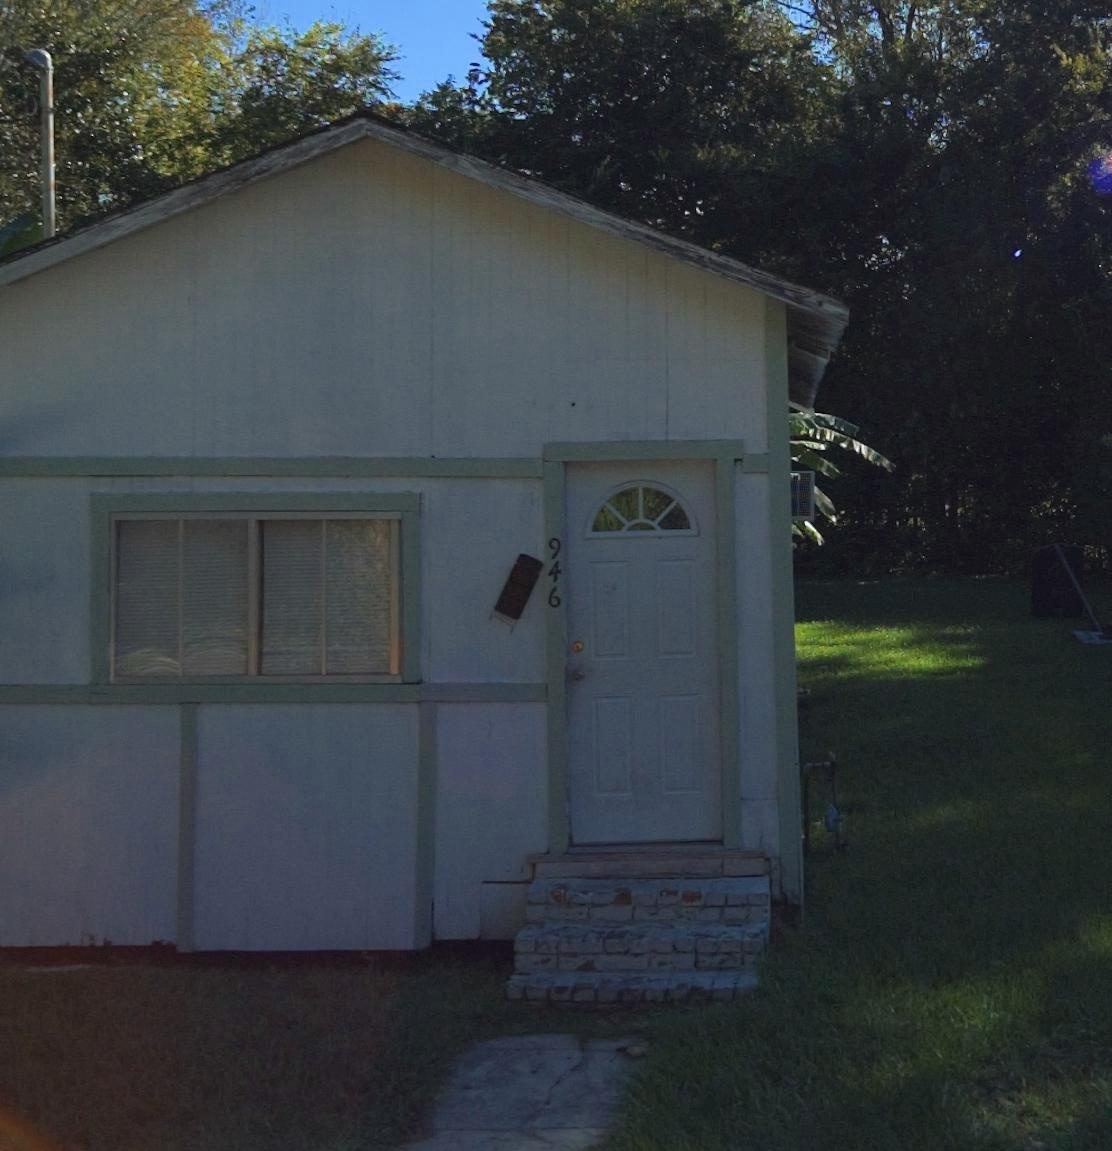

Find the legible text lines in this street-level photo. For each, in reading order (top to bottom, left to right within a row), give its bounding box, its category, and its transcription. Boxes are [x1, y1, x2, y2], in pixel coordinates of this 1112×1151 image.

[546, 535, 564, 610] StreetNumber: 946